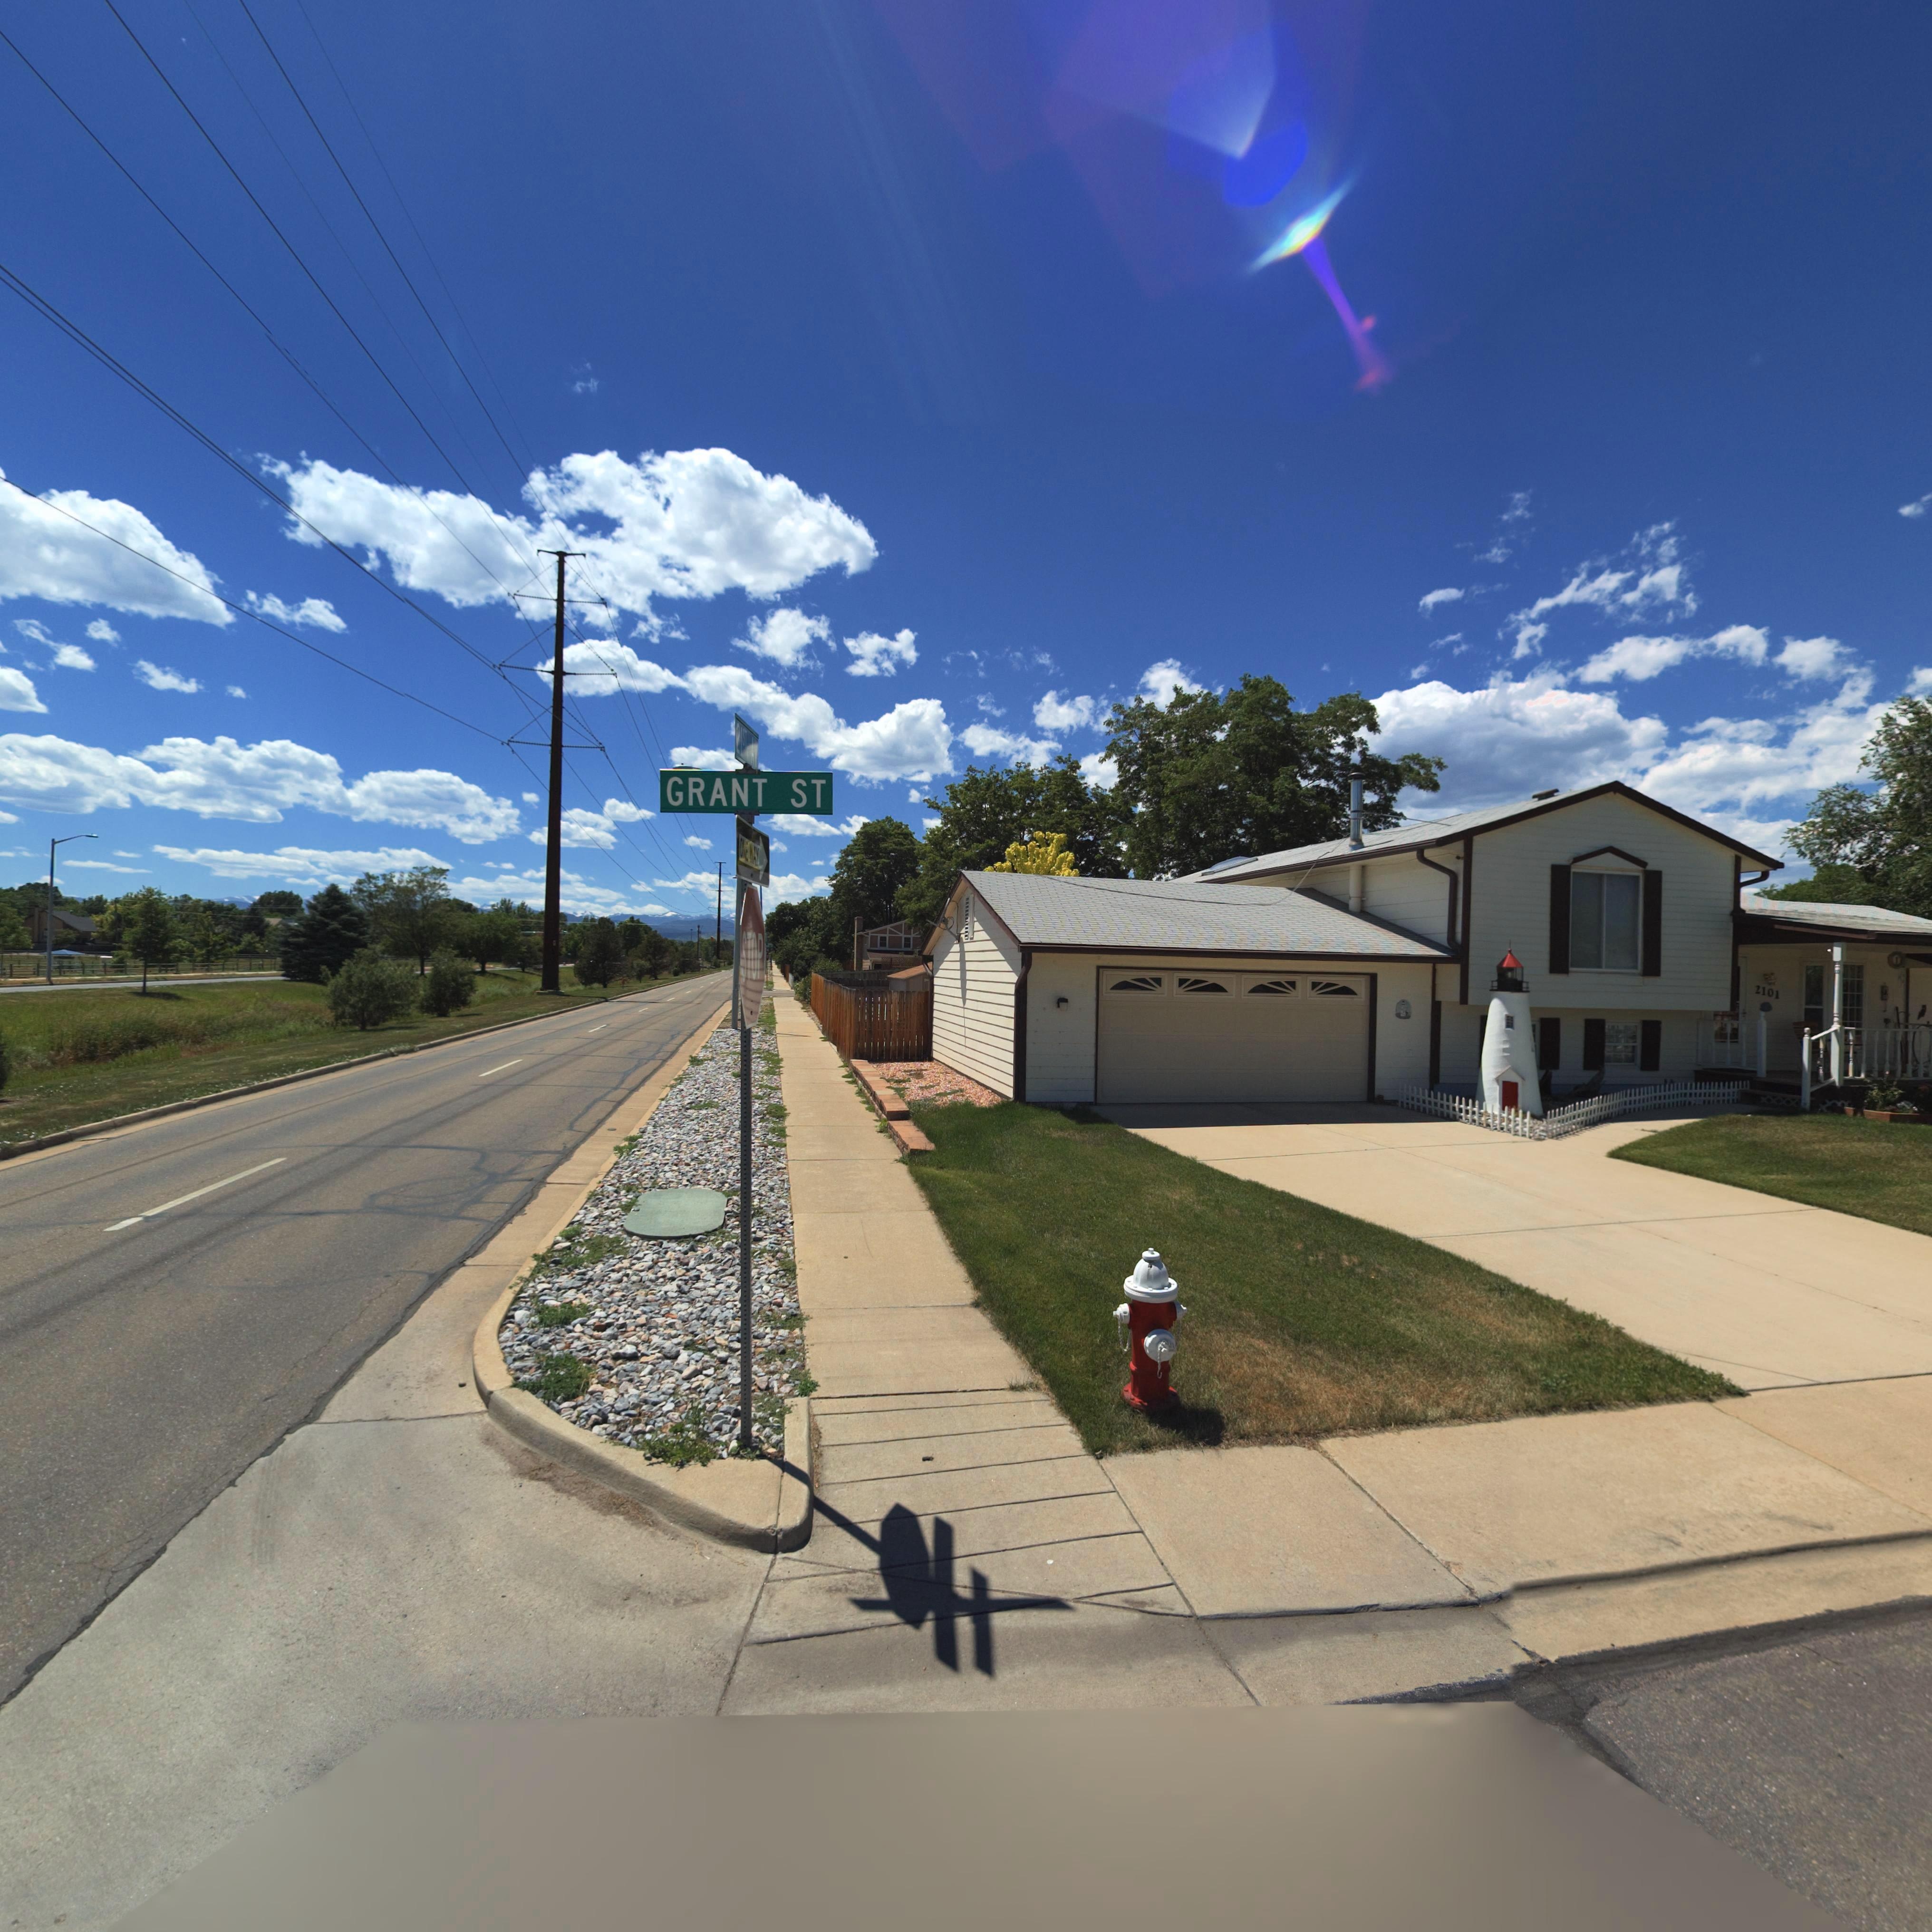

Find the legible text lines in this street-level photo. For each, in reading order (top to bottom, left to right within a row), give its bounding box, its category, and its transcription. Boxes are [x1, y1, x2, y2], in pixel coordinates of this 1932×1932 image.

[735, 722, 758, 768] StreetName: 21ST AV
[666, 776, 826, 808] StreetName: GRANT ST
[1755, 985, 1779, 999] StreetNumber: 2101